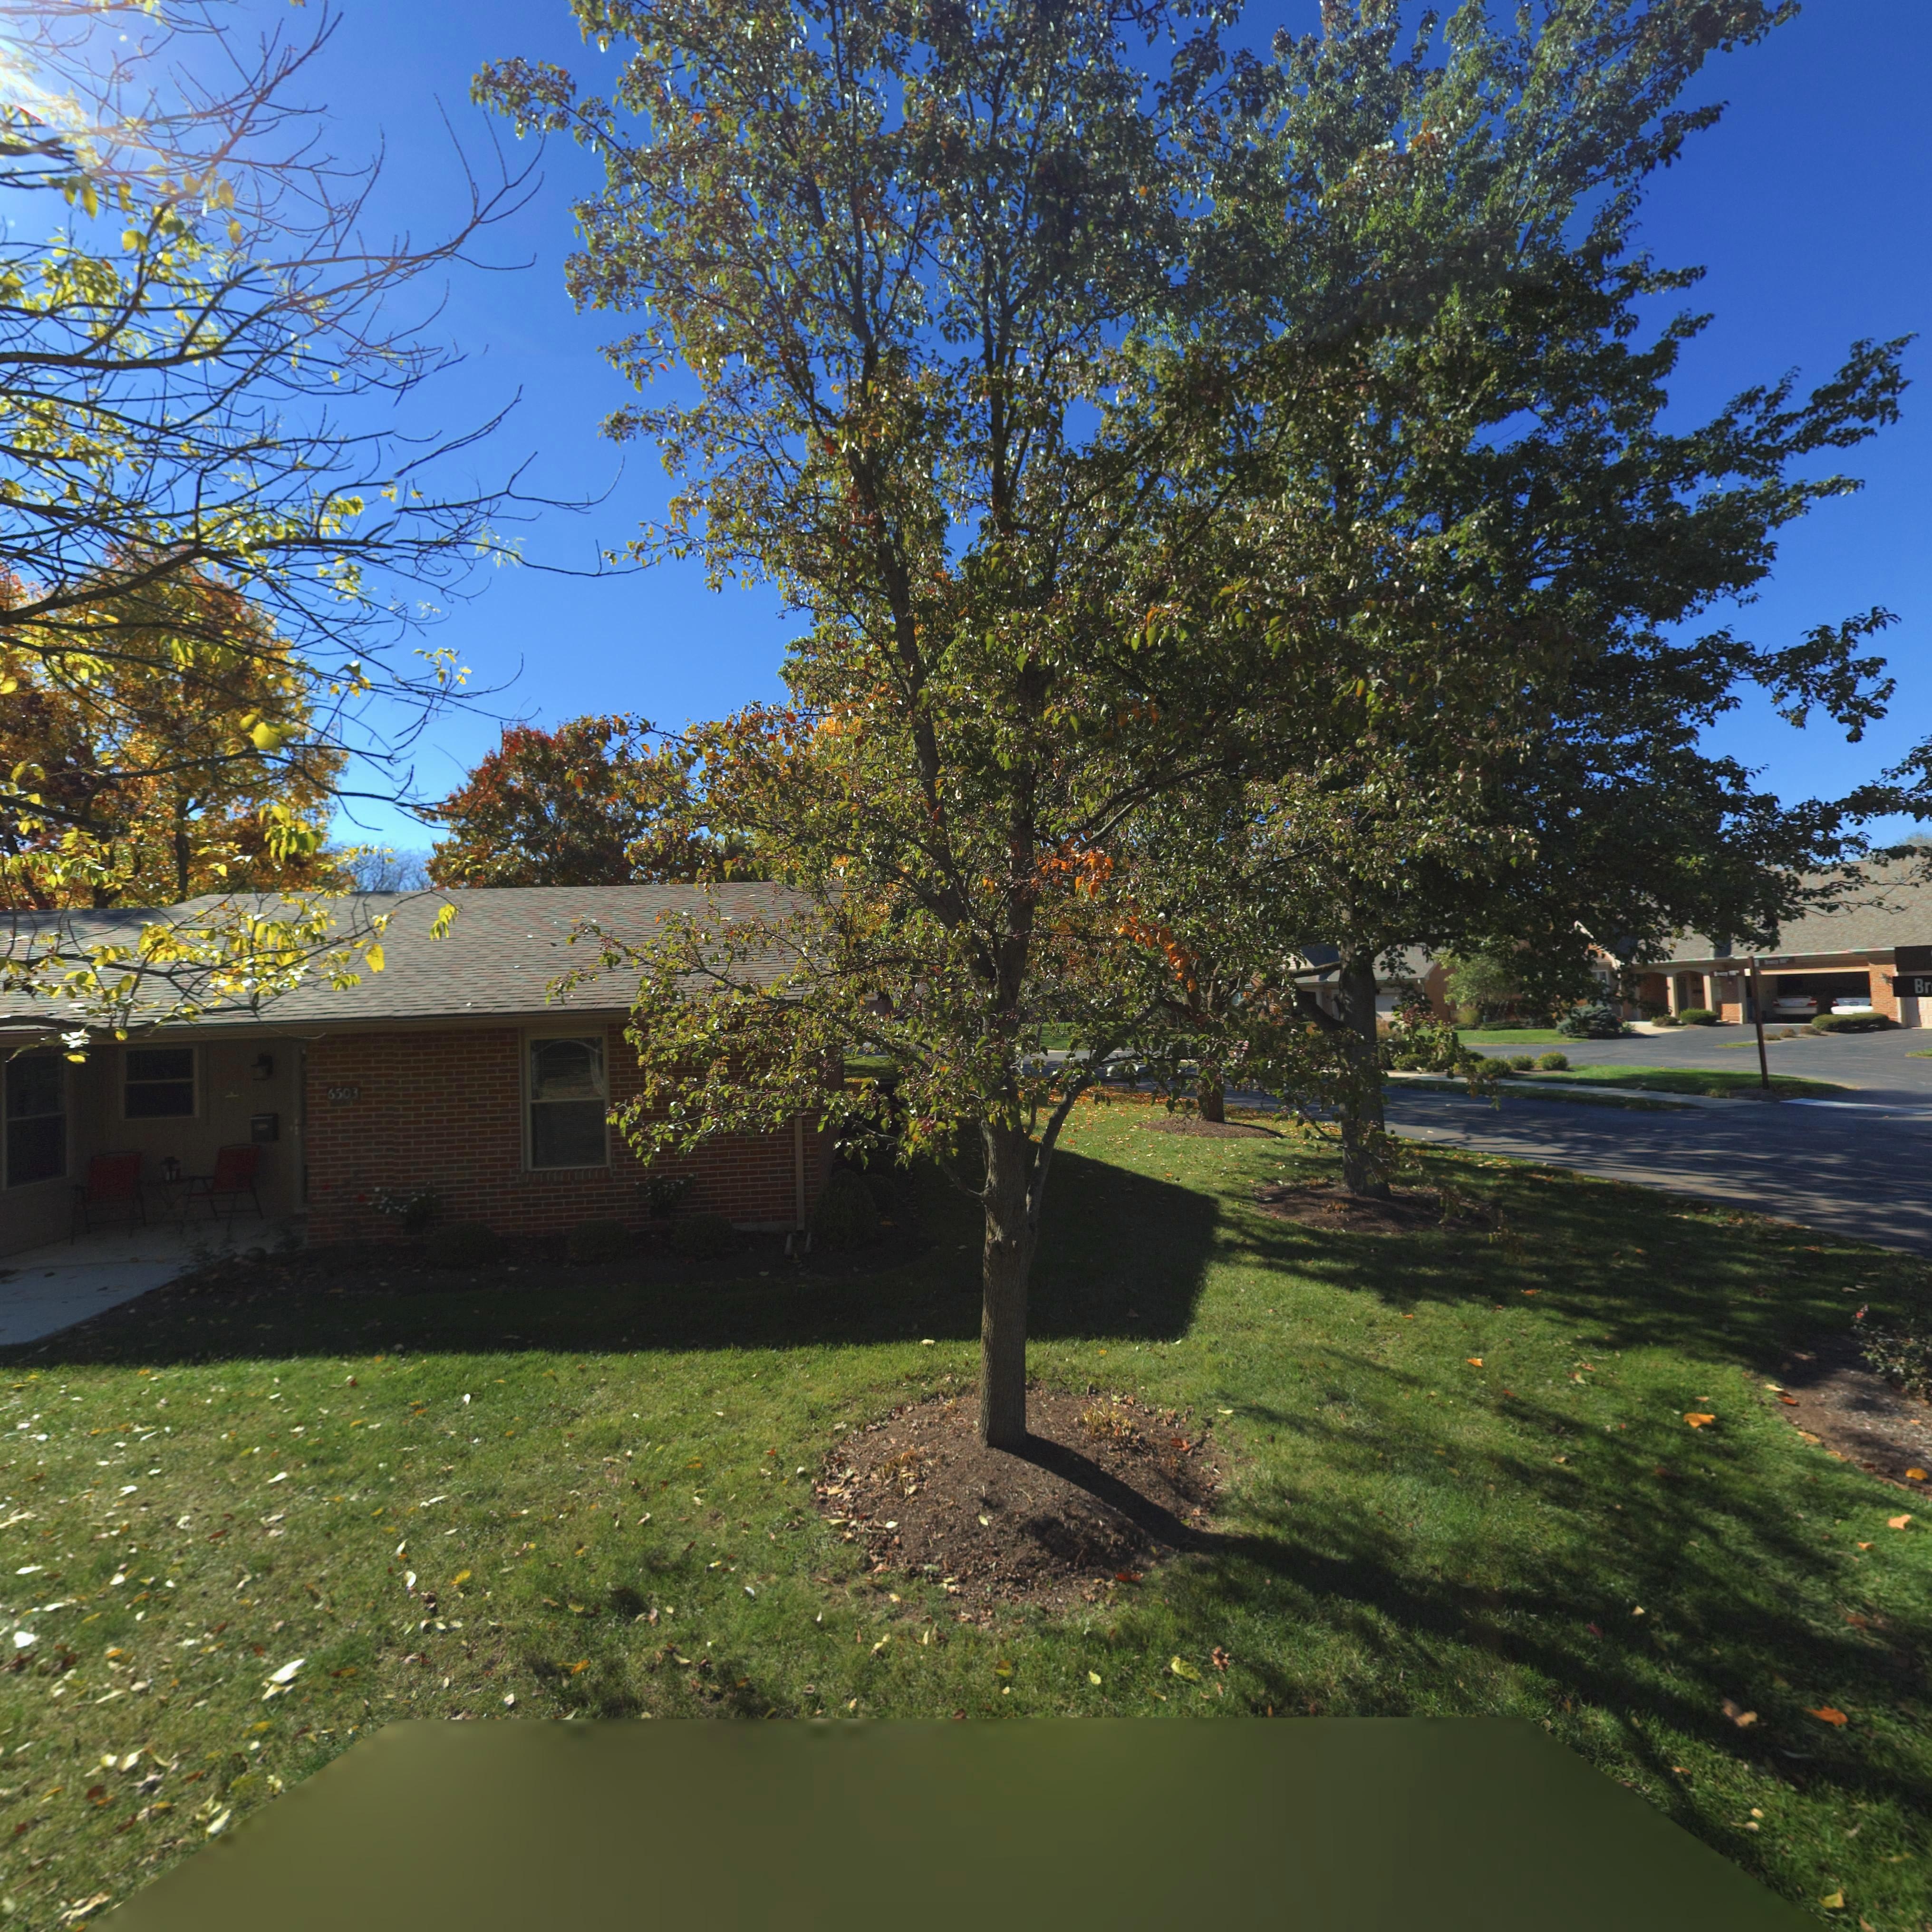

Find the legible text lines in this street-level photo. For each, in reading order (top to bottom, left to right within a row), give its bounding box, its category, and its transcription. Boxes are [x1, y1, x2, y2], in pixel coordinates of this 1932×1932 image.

[327, 1087, 359, 1100] StreetNumber: 6503